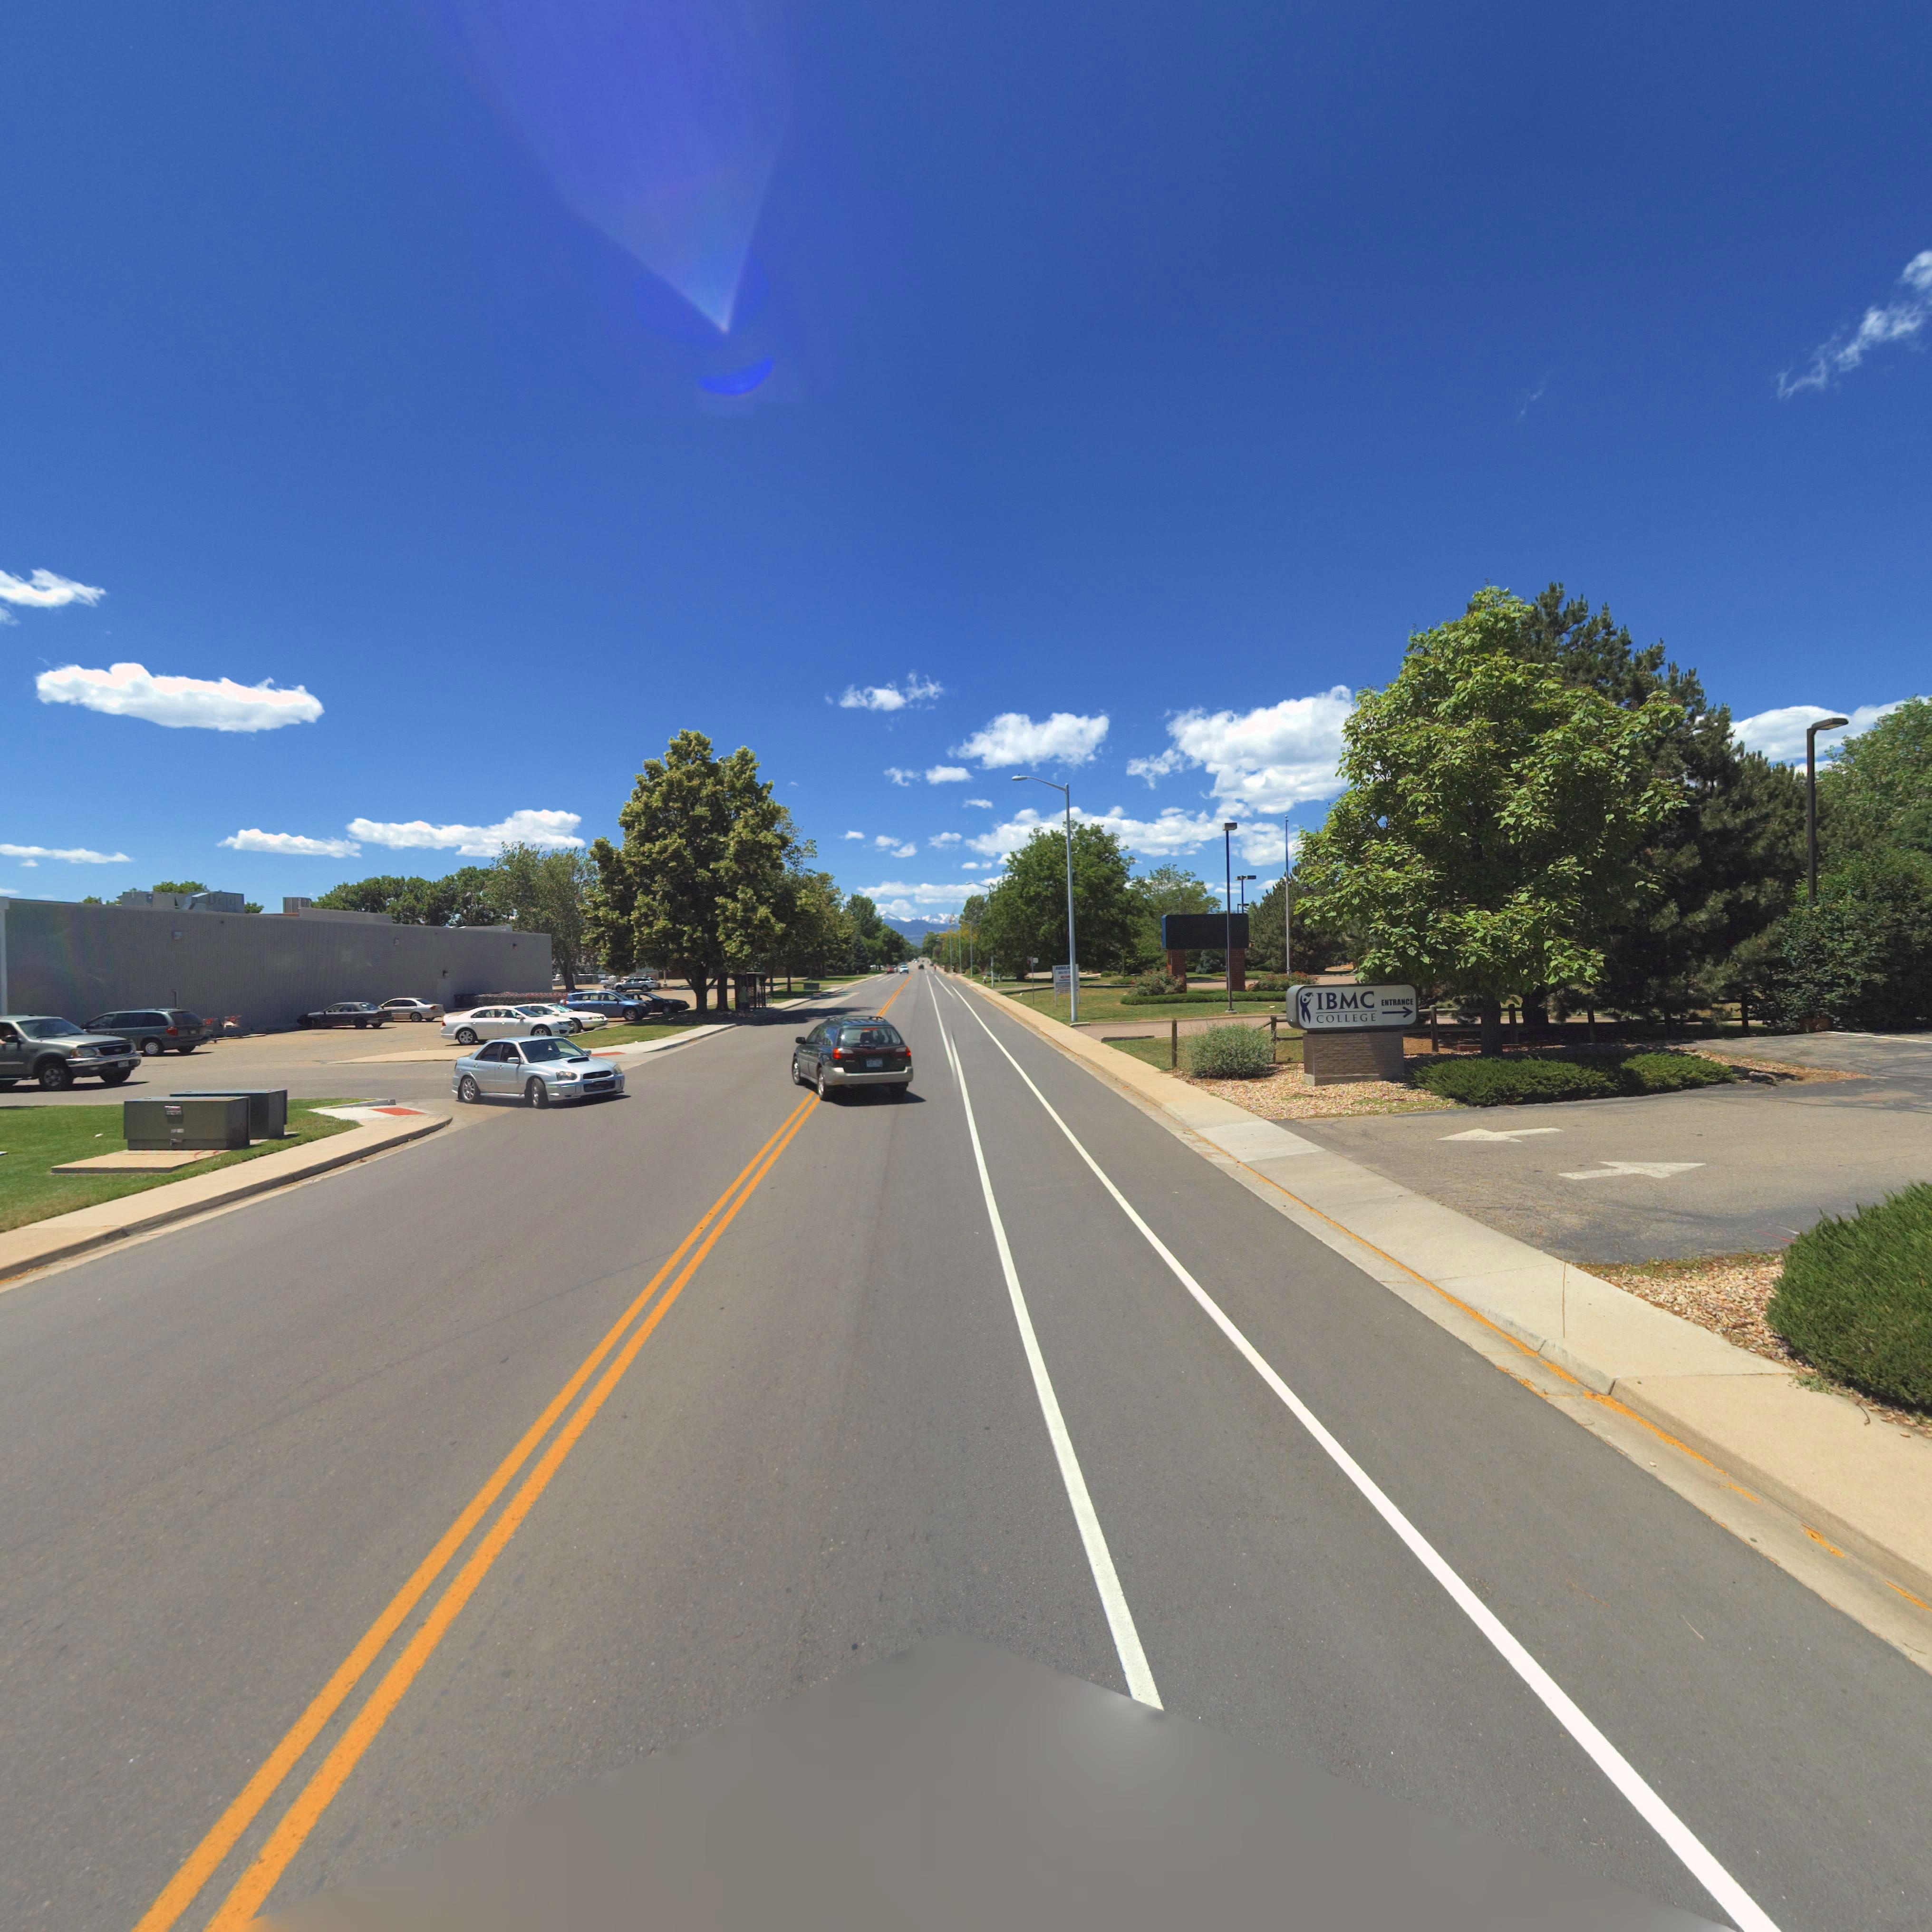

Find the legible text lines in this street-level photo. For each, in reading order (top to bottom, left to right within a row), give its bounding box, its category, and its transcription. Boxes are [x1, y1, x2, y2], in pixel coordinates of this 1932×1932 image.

[1316, 990, 1374, 1010] BusinessName: IBMC
[1316, 1013, 1376, 1023] BusinessName: COLLEGE